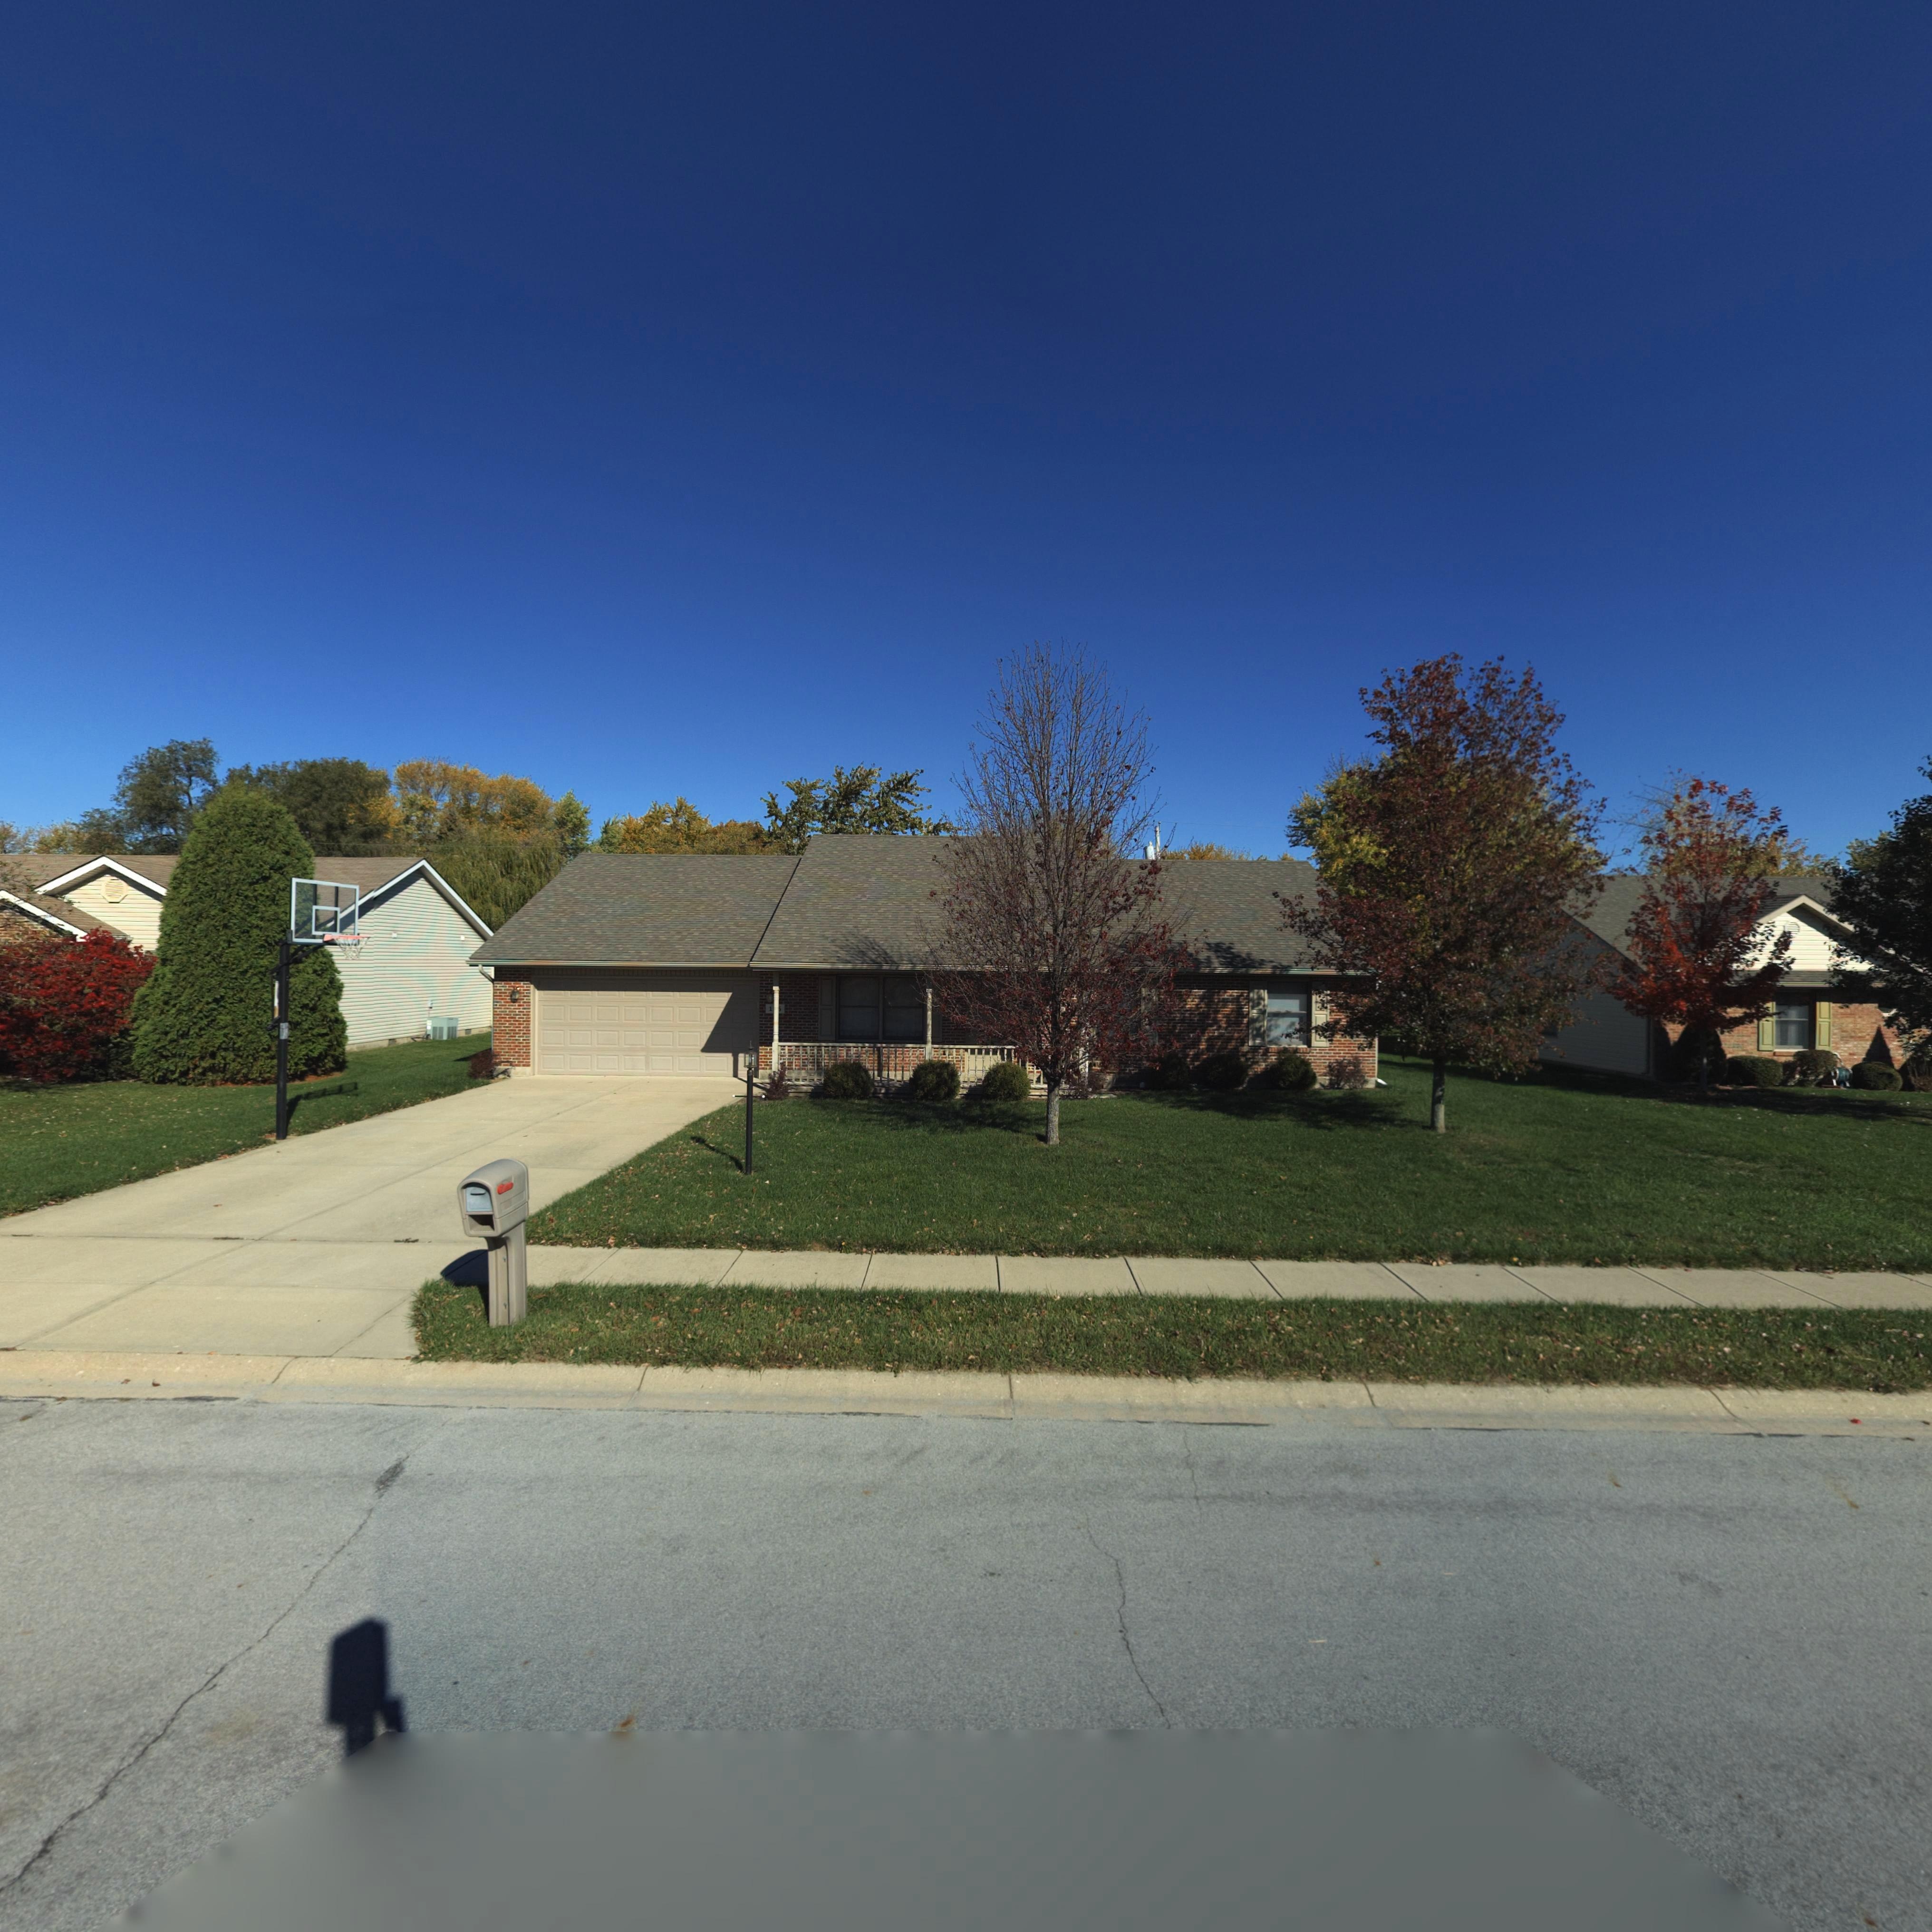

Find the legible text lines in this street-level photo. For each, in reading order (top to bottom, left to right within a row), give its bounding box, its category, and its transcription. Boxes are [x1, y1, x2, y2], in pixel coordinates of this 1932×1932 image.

[768, 1006, 773, 1012] StreetNumber: 1